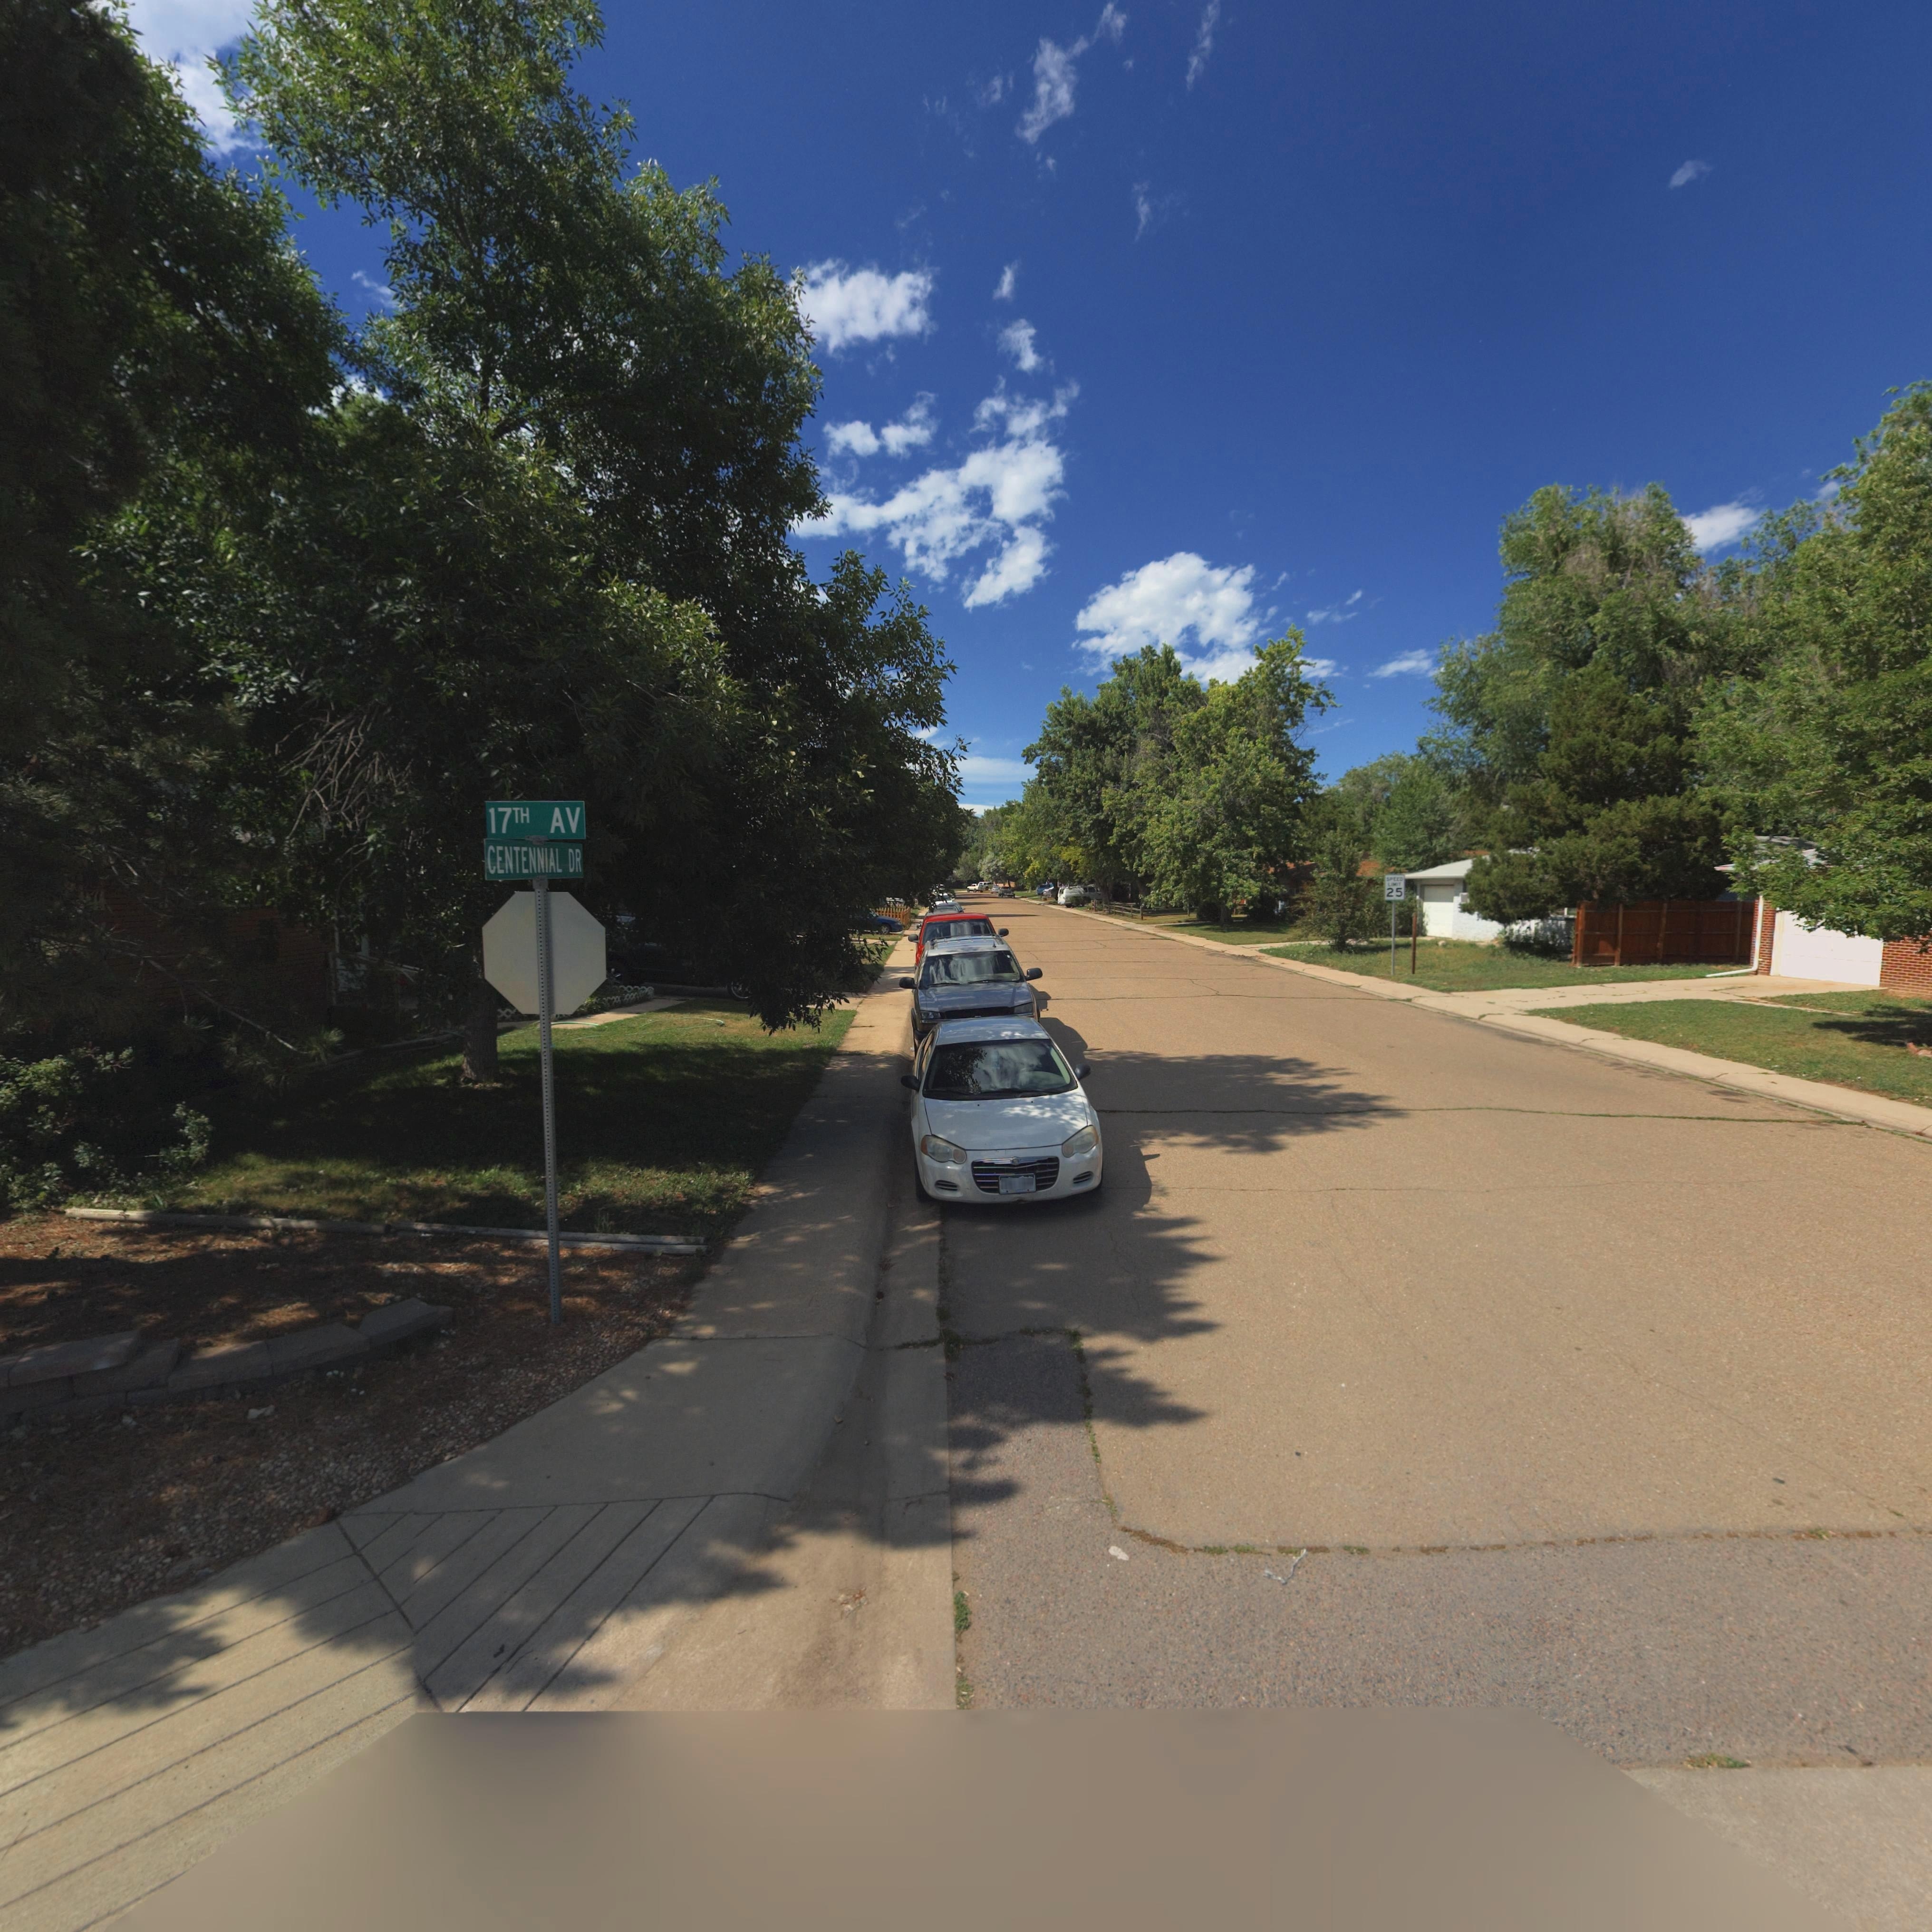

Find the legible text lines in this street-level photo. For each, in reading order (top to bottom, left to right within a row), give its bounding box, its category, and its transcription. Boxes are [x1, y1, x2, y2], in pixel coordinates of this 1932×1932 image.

[488, 806, 580, 834] StreetName: 17TH AV
[488, 845, 582, 874] StreetName: CENTENNIAL DR